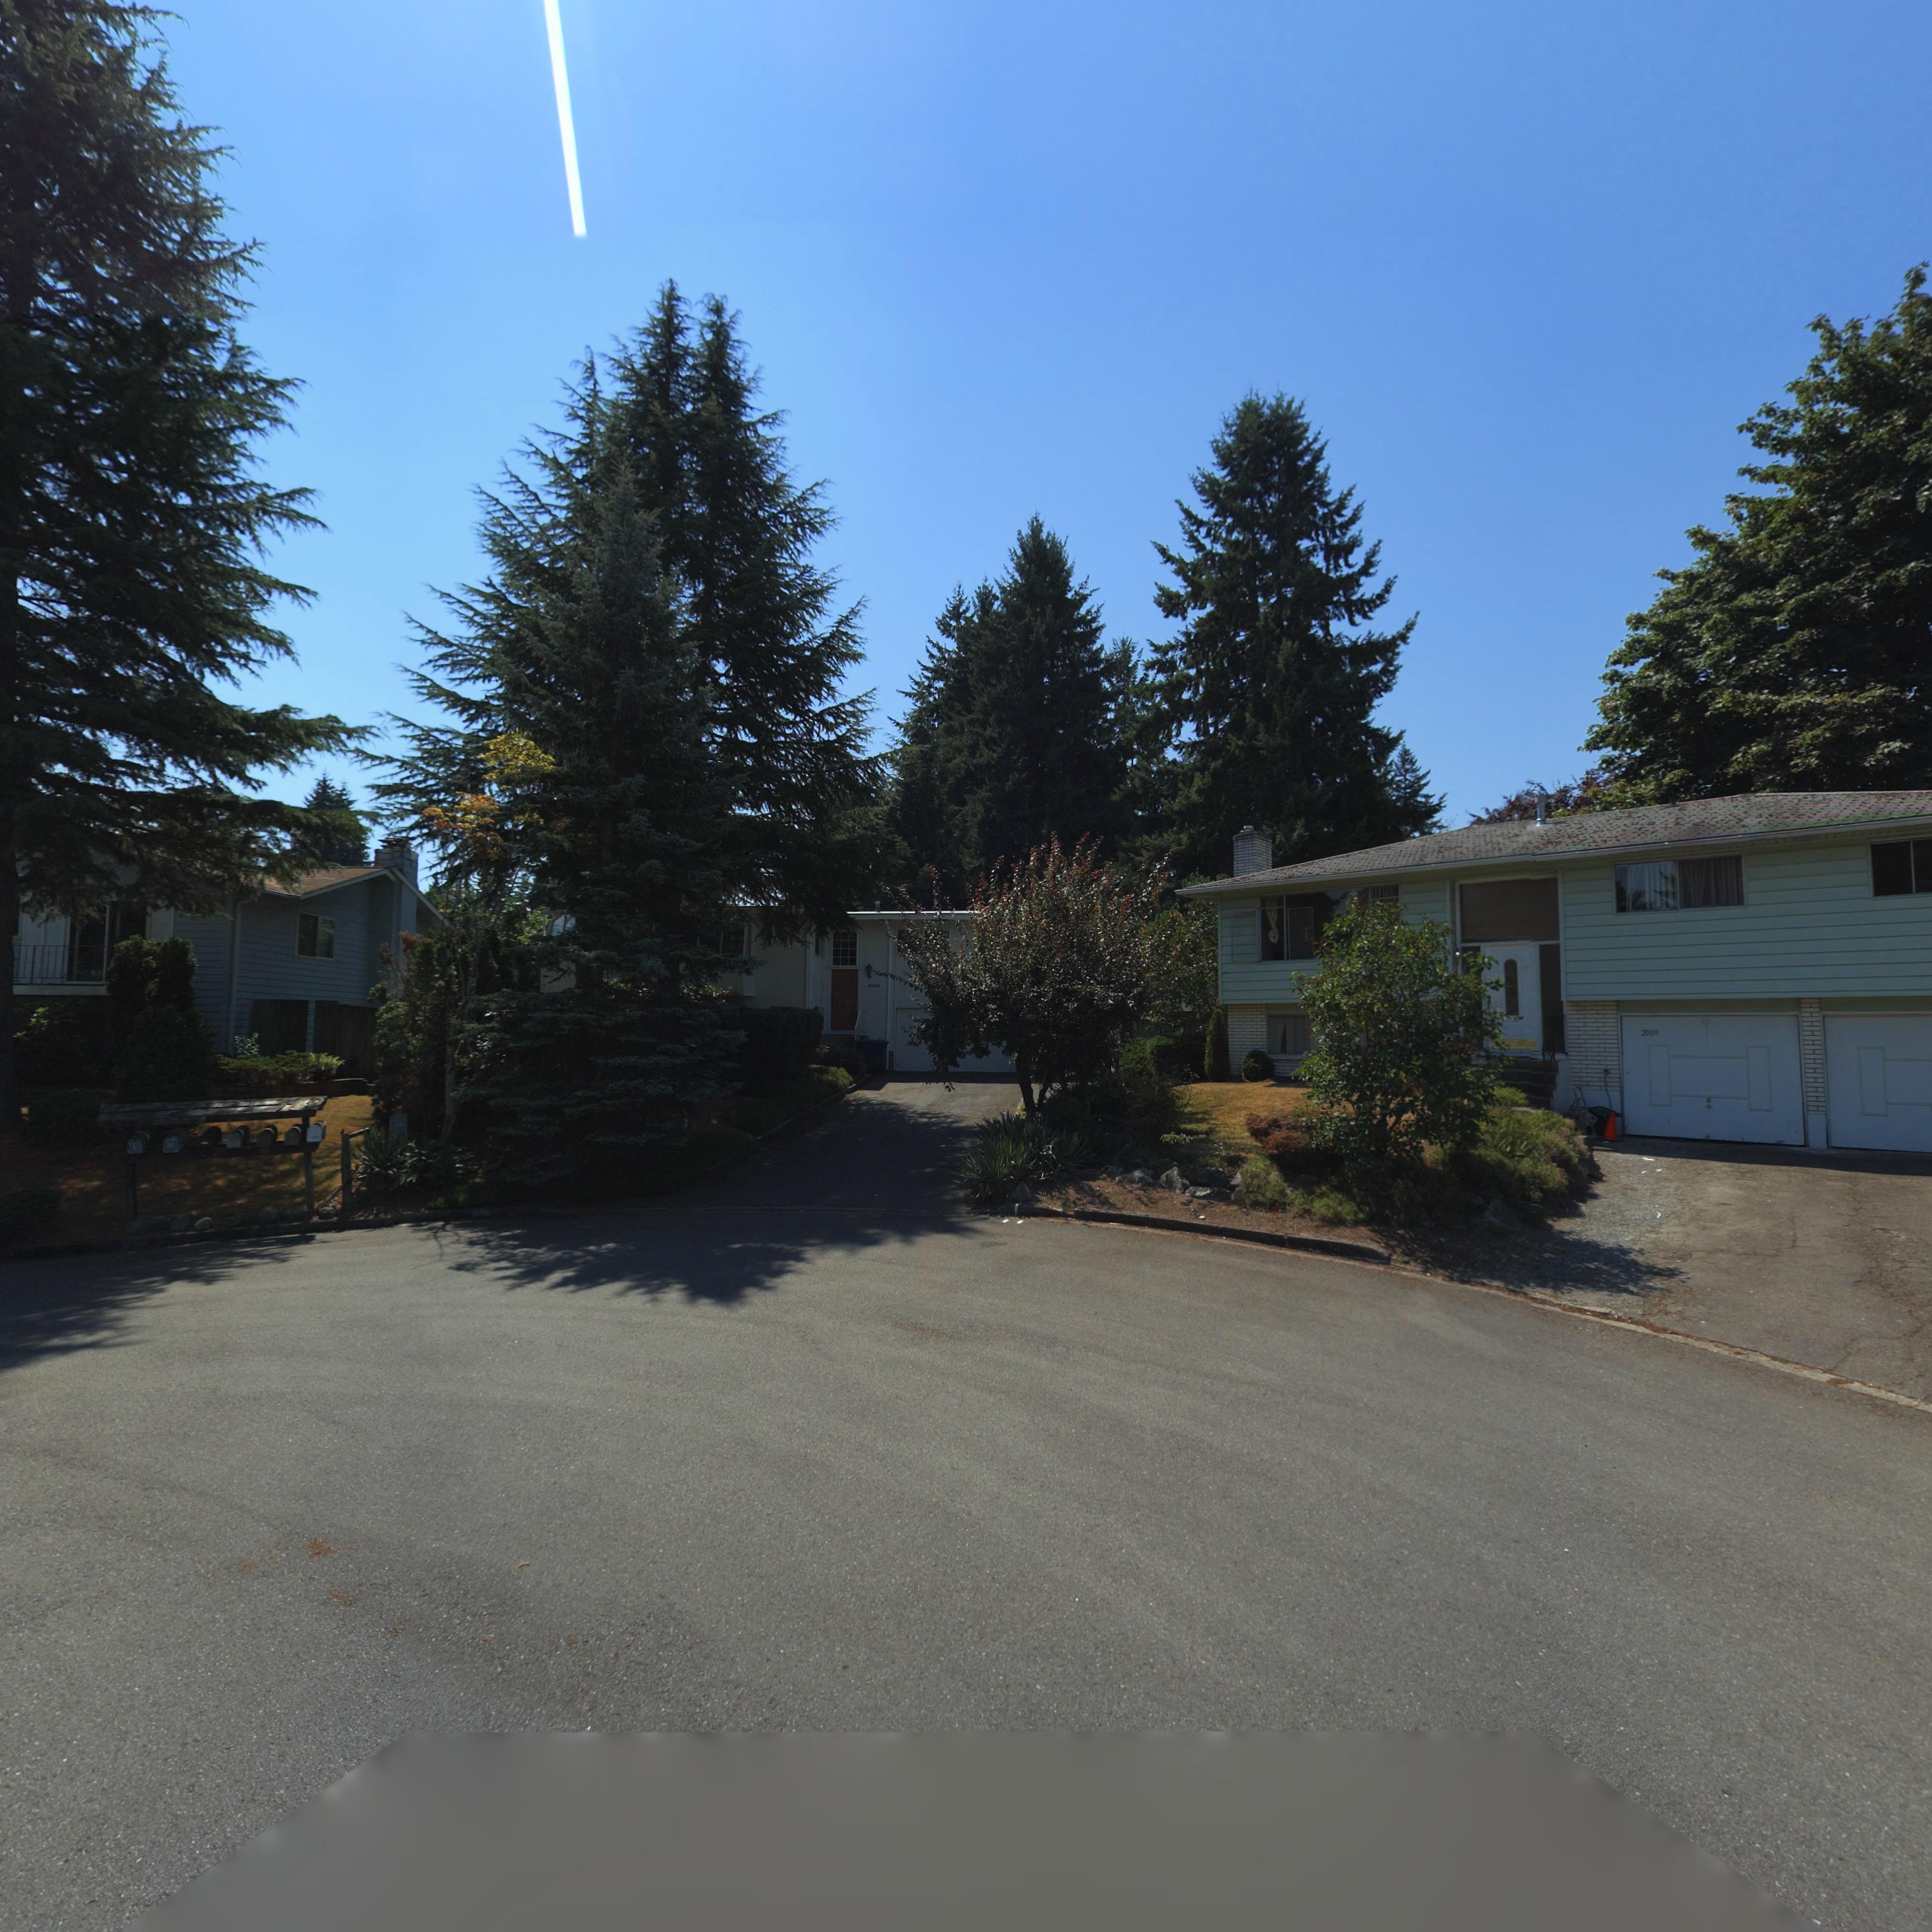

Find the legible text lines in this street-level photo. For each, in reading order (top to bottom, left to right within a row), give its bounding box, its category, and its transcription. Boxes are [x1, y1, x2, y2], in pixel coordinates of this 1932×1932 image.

[867, 983, 880, 988] StreetNumber: 200*
[1641, 1028, 1659, 1036] StreetNumber: 2009